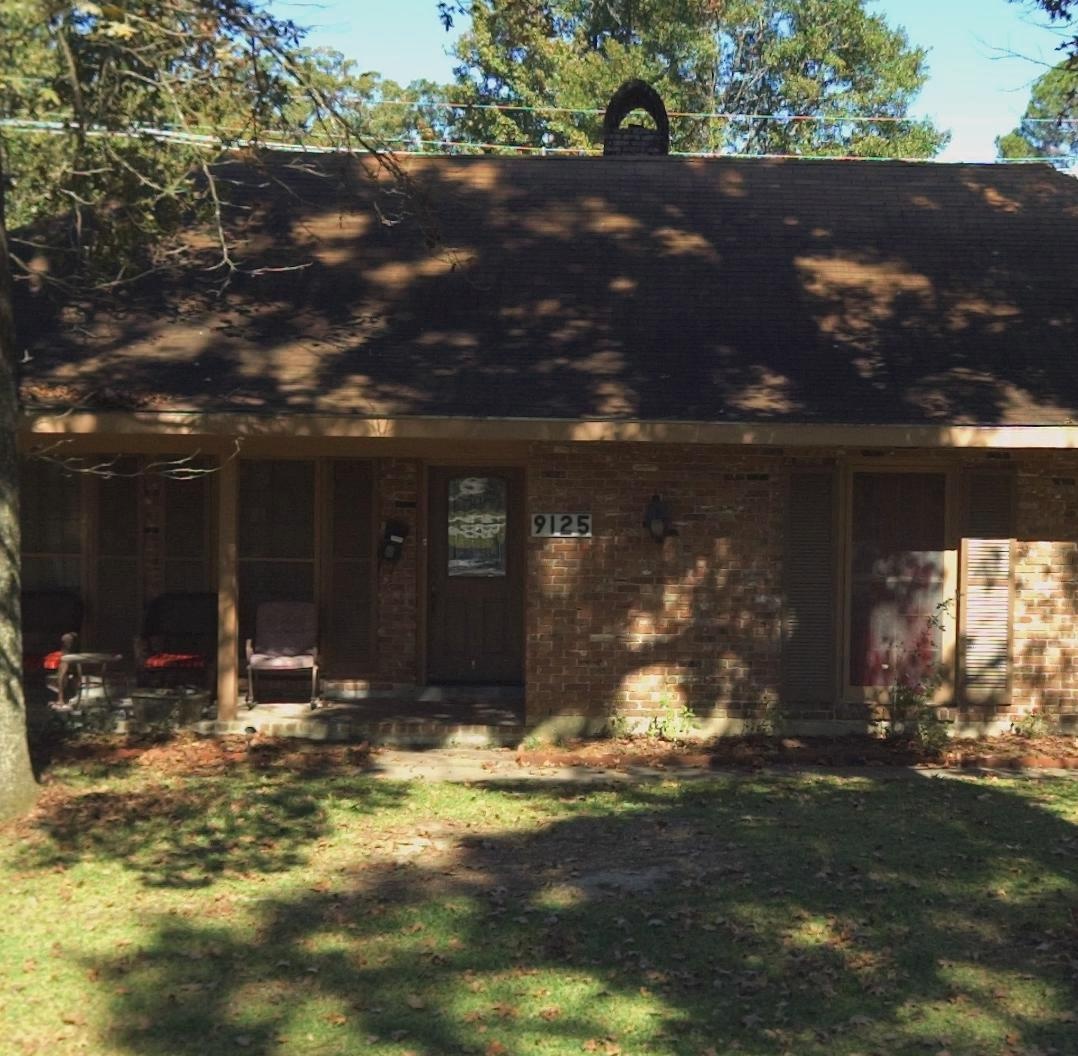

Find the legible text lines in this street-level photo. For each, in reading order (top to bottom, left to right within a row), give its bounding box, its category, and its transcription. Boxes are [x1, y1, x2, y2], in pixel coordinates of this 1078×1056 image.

[531, 512, 592, 537] StreetNumber: 9125